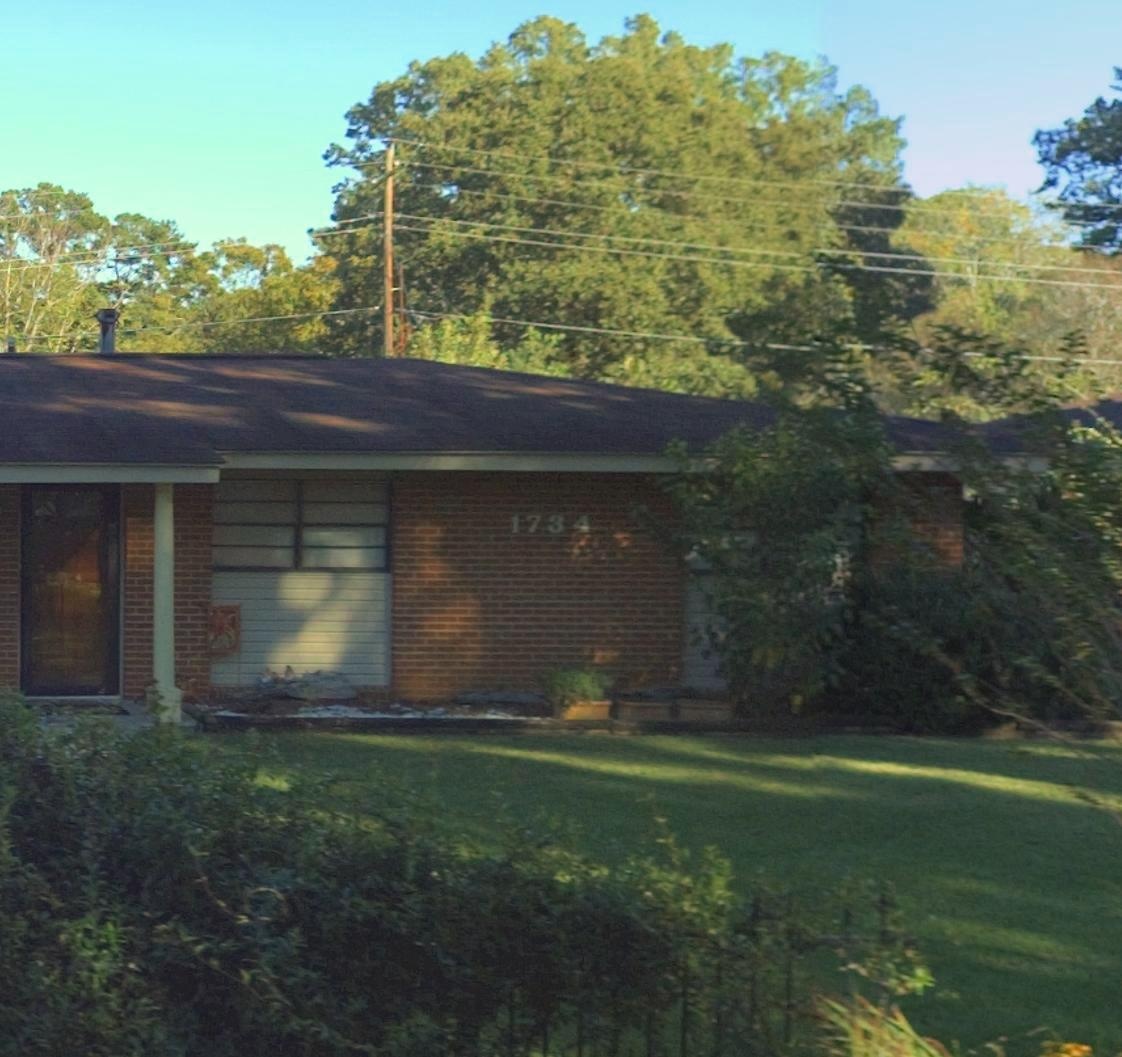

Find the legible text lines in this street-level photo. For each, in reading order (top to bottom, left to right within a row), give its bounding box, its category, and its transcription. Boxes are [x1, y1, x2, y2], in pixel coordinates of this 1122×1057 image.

[509, 512, 591, 535] StreetNumber: 1734